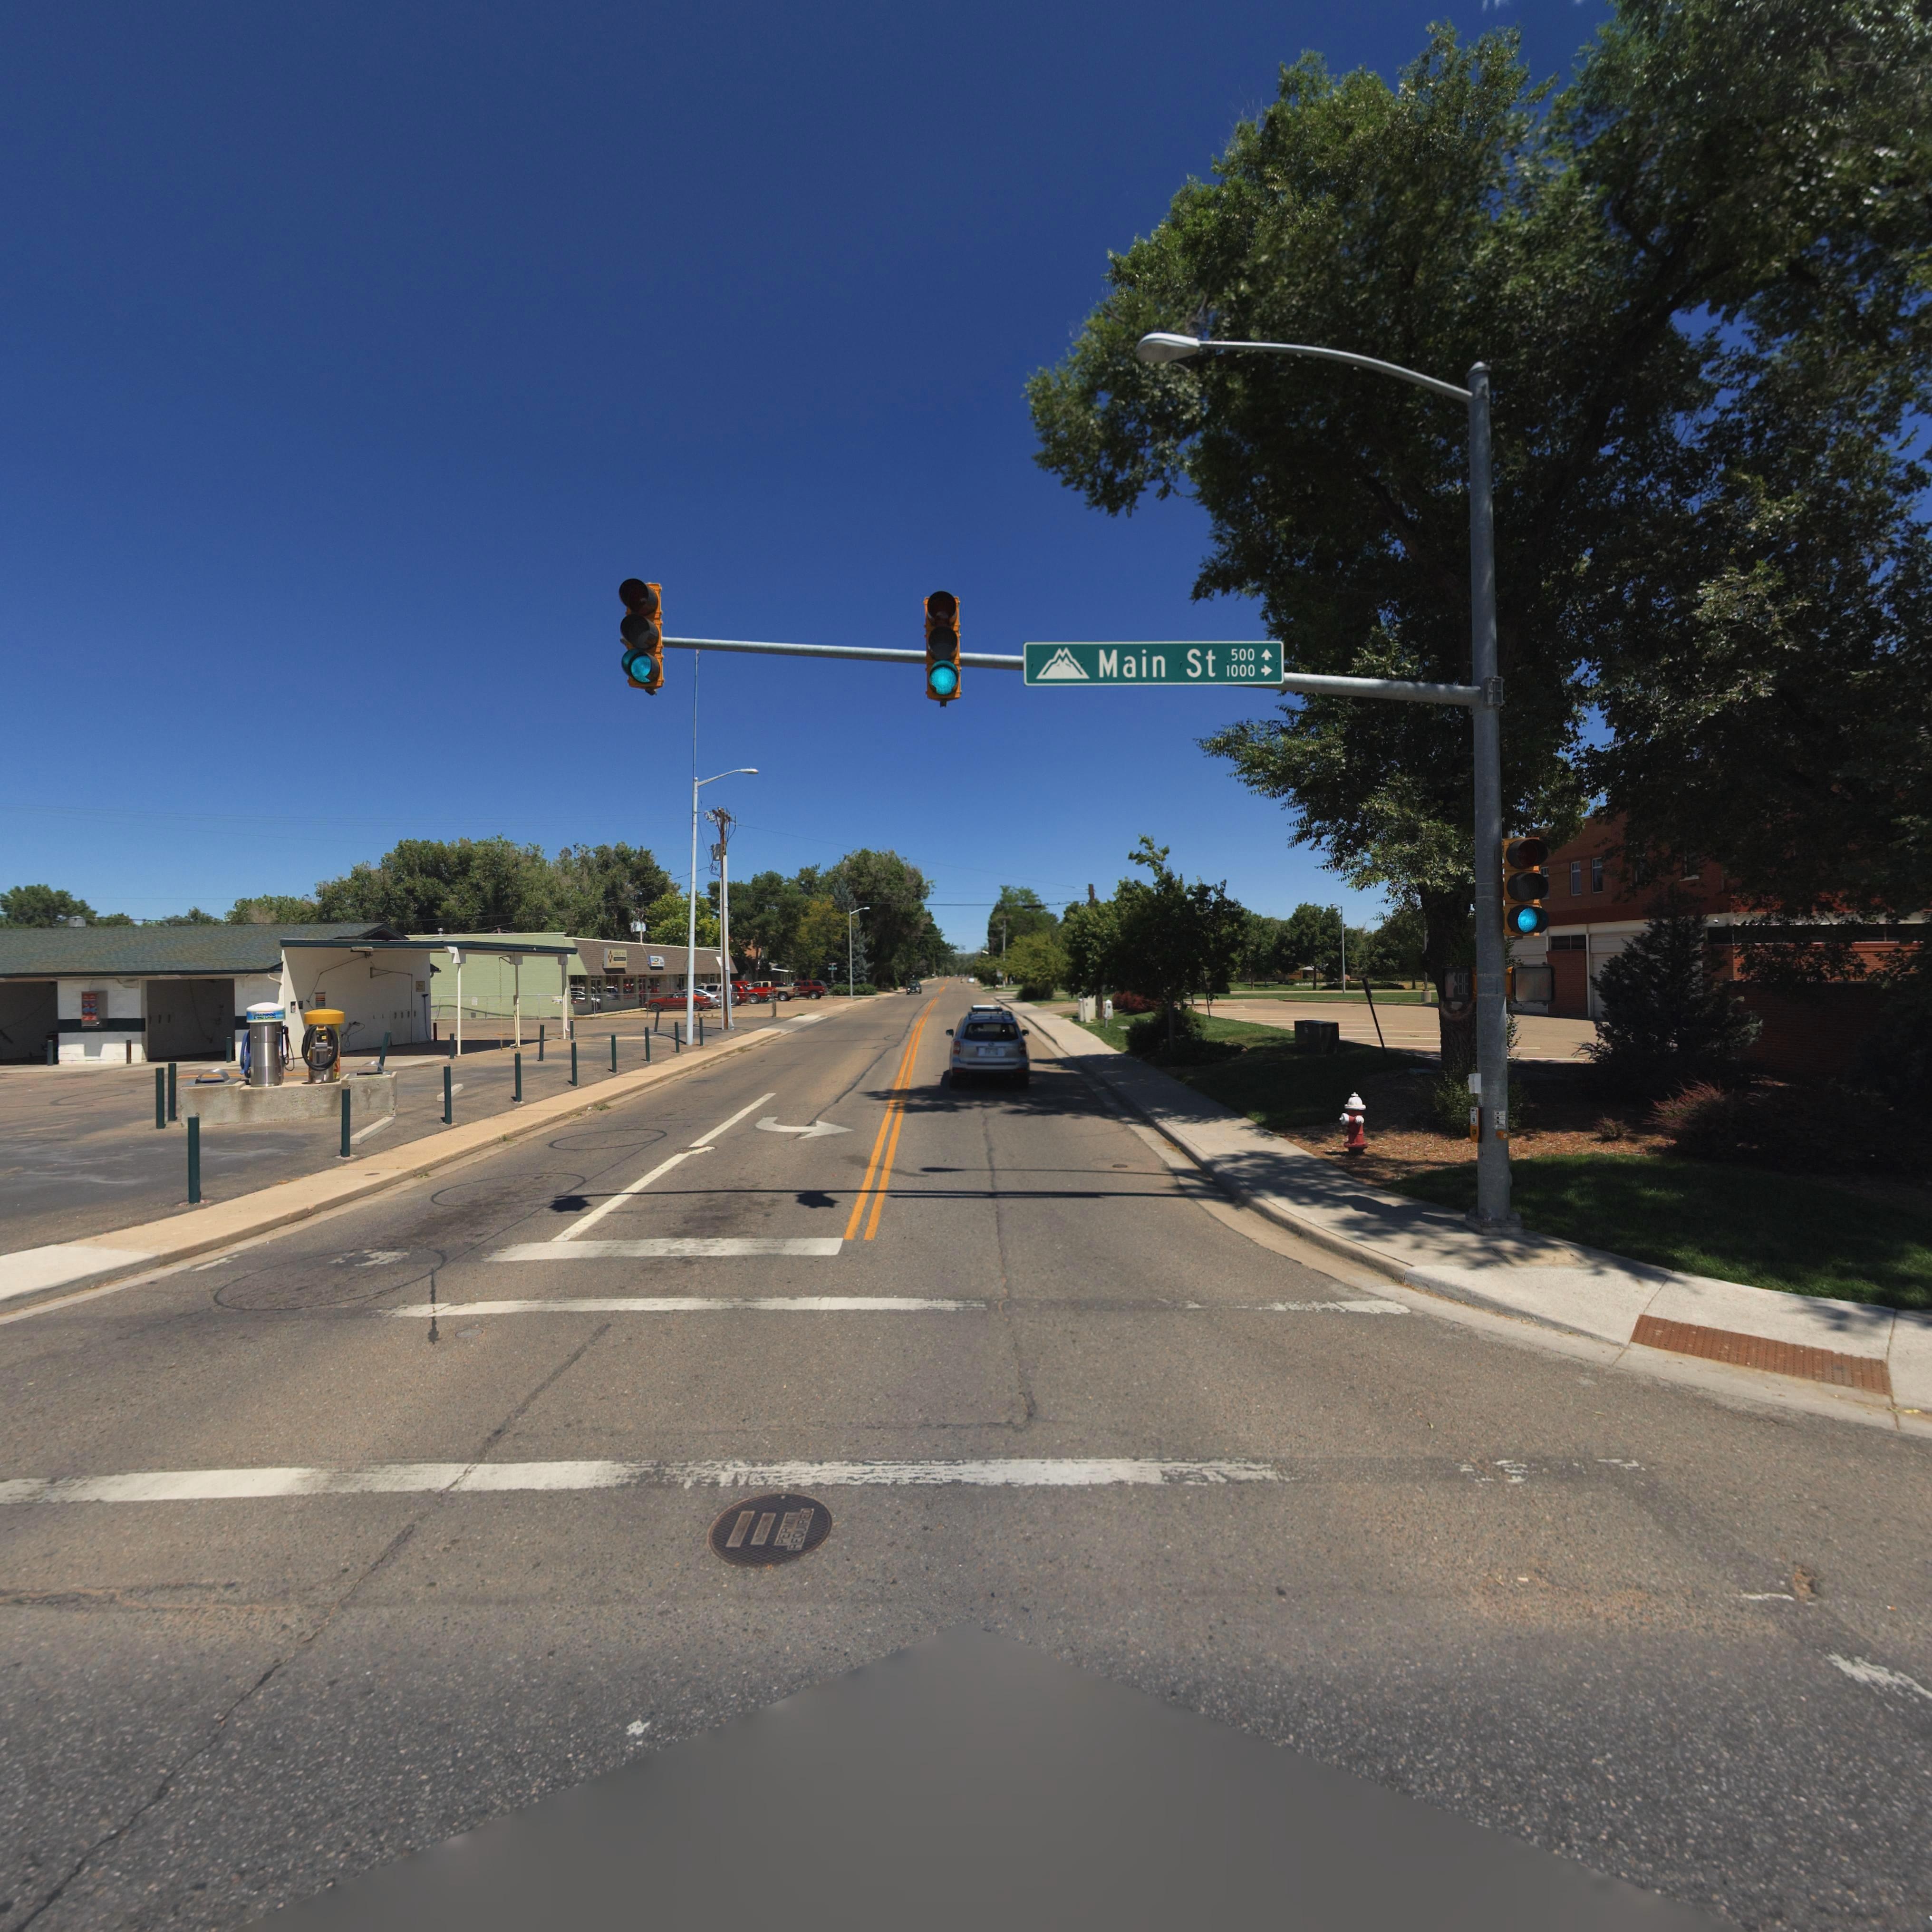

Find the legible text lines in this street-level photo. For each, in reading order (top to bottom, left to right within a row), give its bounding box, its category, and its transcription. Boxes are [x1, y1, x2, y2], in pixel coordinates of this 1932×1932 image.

[1230, 647, 1255, 661] StreetNumberRange: 500
[1098, 647, 1216, 678] StreetName: Main St
[1226, 663, 1273, 677] StreetNumberRange: 1000->